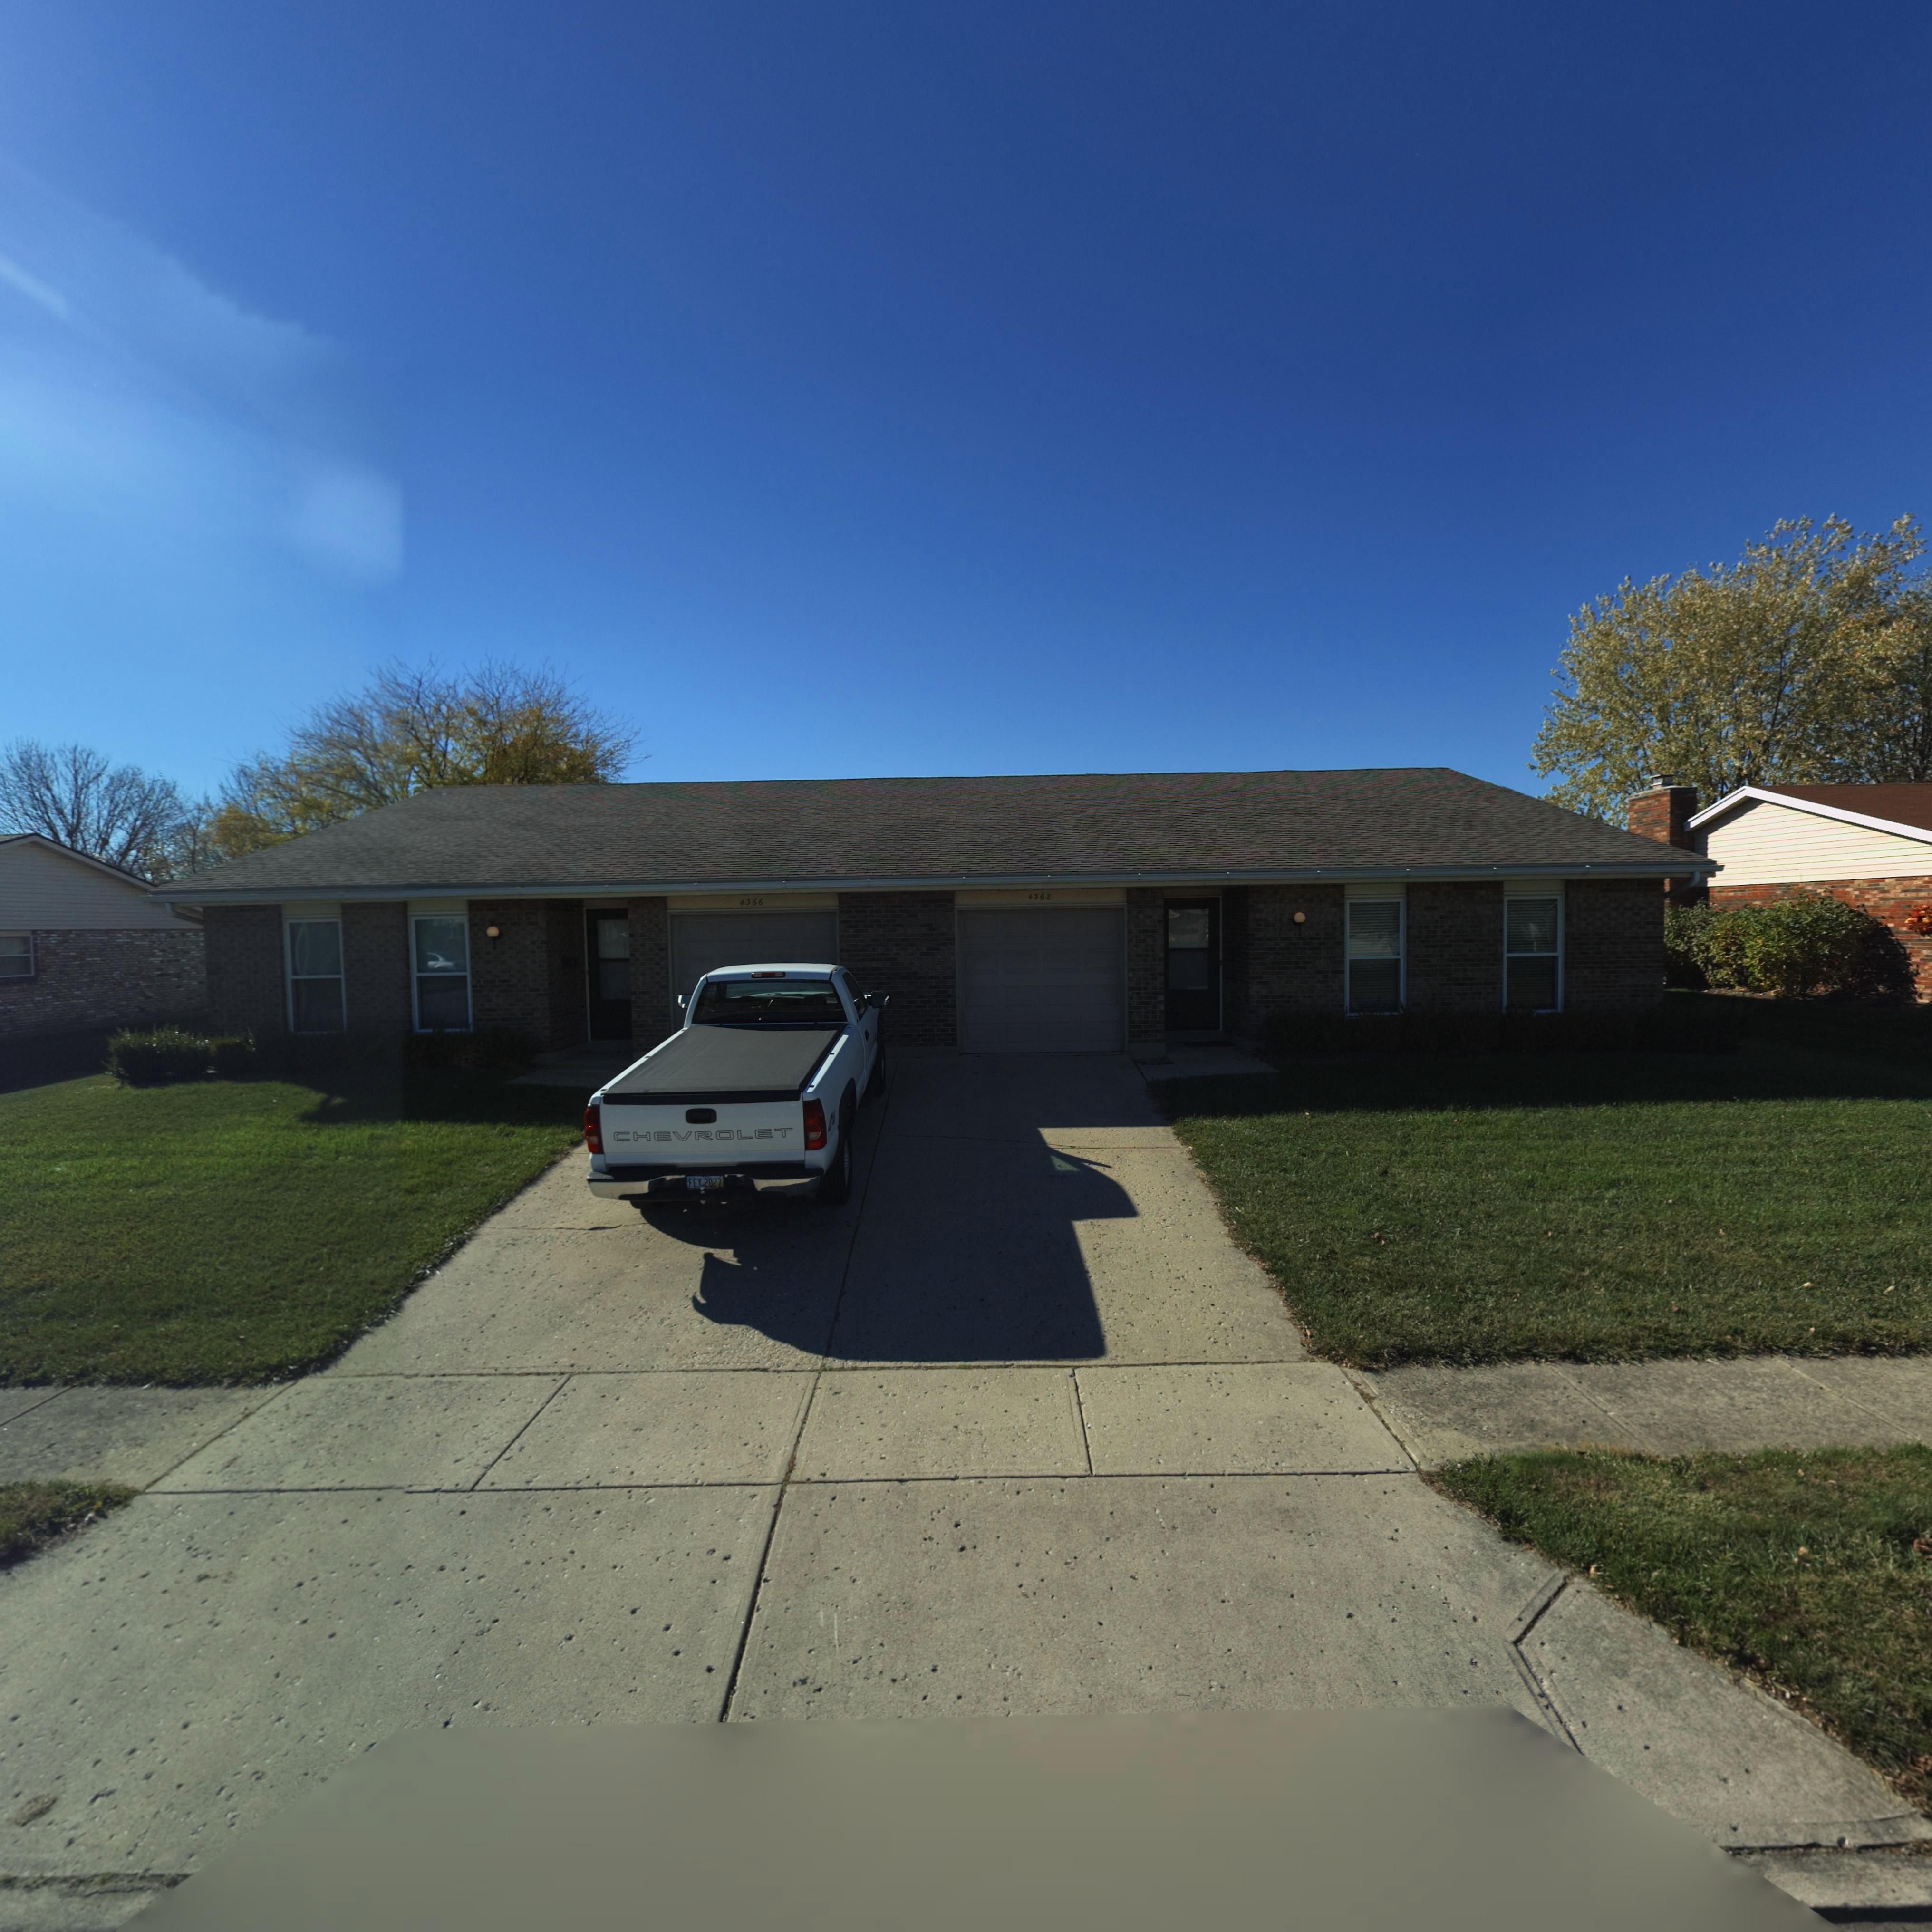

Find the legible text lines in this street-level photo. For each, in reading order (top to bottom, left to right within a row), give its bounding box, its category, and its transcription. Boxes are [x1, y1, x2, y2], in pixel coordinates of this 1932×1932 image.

[1027, 893, 1053, 900] StreetNumber: 4368
[739, 898, 763, 906] StreetNumber: 4366